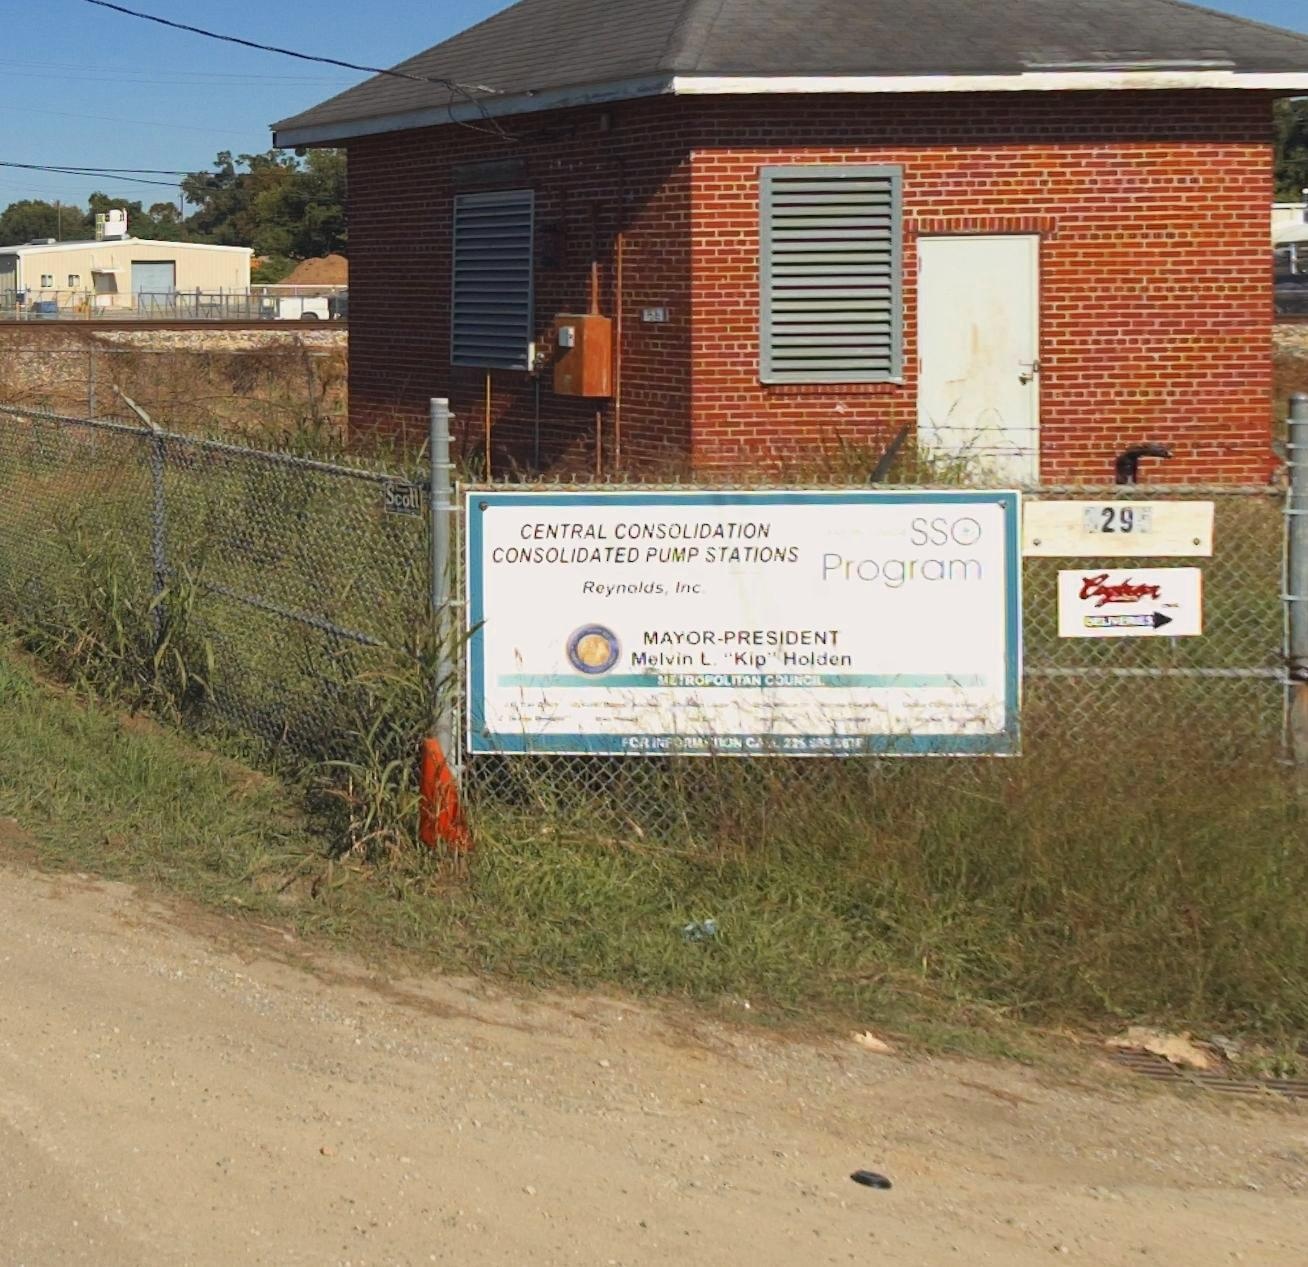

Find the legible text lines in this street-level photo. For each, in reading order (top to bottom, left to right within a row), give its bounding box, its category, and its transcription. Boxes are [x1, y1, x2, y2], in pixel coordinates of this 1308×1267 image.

[385, 483, 422, 511] None: Scott
[1100, 506, 1135, 533] None: 29
[520, 521, 771, 540] None: CENTRAL CONSOLIDATION
[910, 516, 983, 547] None: SSO
[491, 545, 800, 564] None: CONSOLIDATED PUMP STATIONS
[821, 551, 985, 590] None: Program
[581, 579, 703, 598] BusinessName: Reynolds, Inc.
[642, 629, 841, 647] None: MAYOR-PRESIDENT
[630, 650, 853, 668] None: Melvin L. "Kip" Holden
[656, 674, 826, 687] None: METROPOLITAN COUNCIL
[619, 735, 864, 750] None: *OR INF**M****N C*** 225 *** *67*